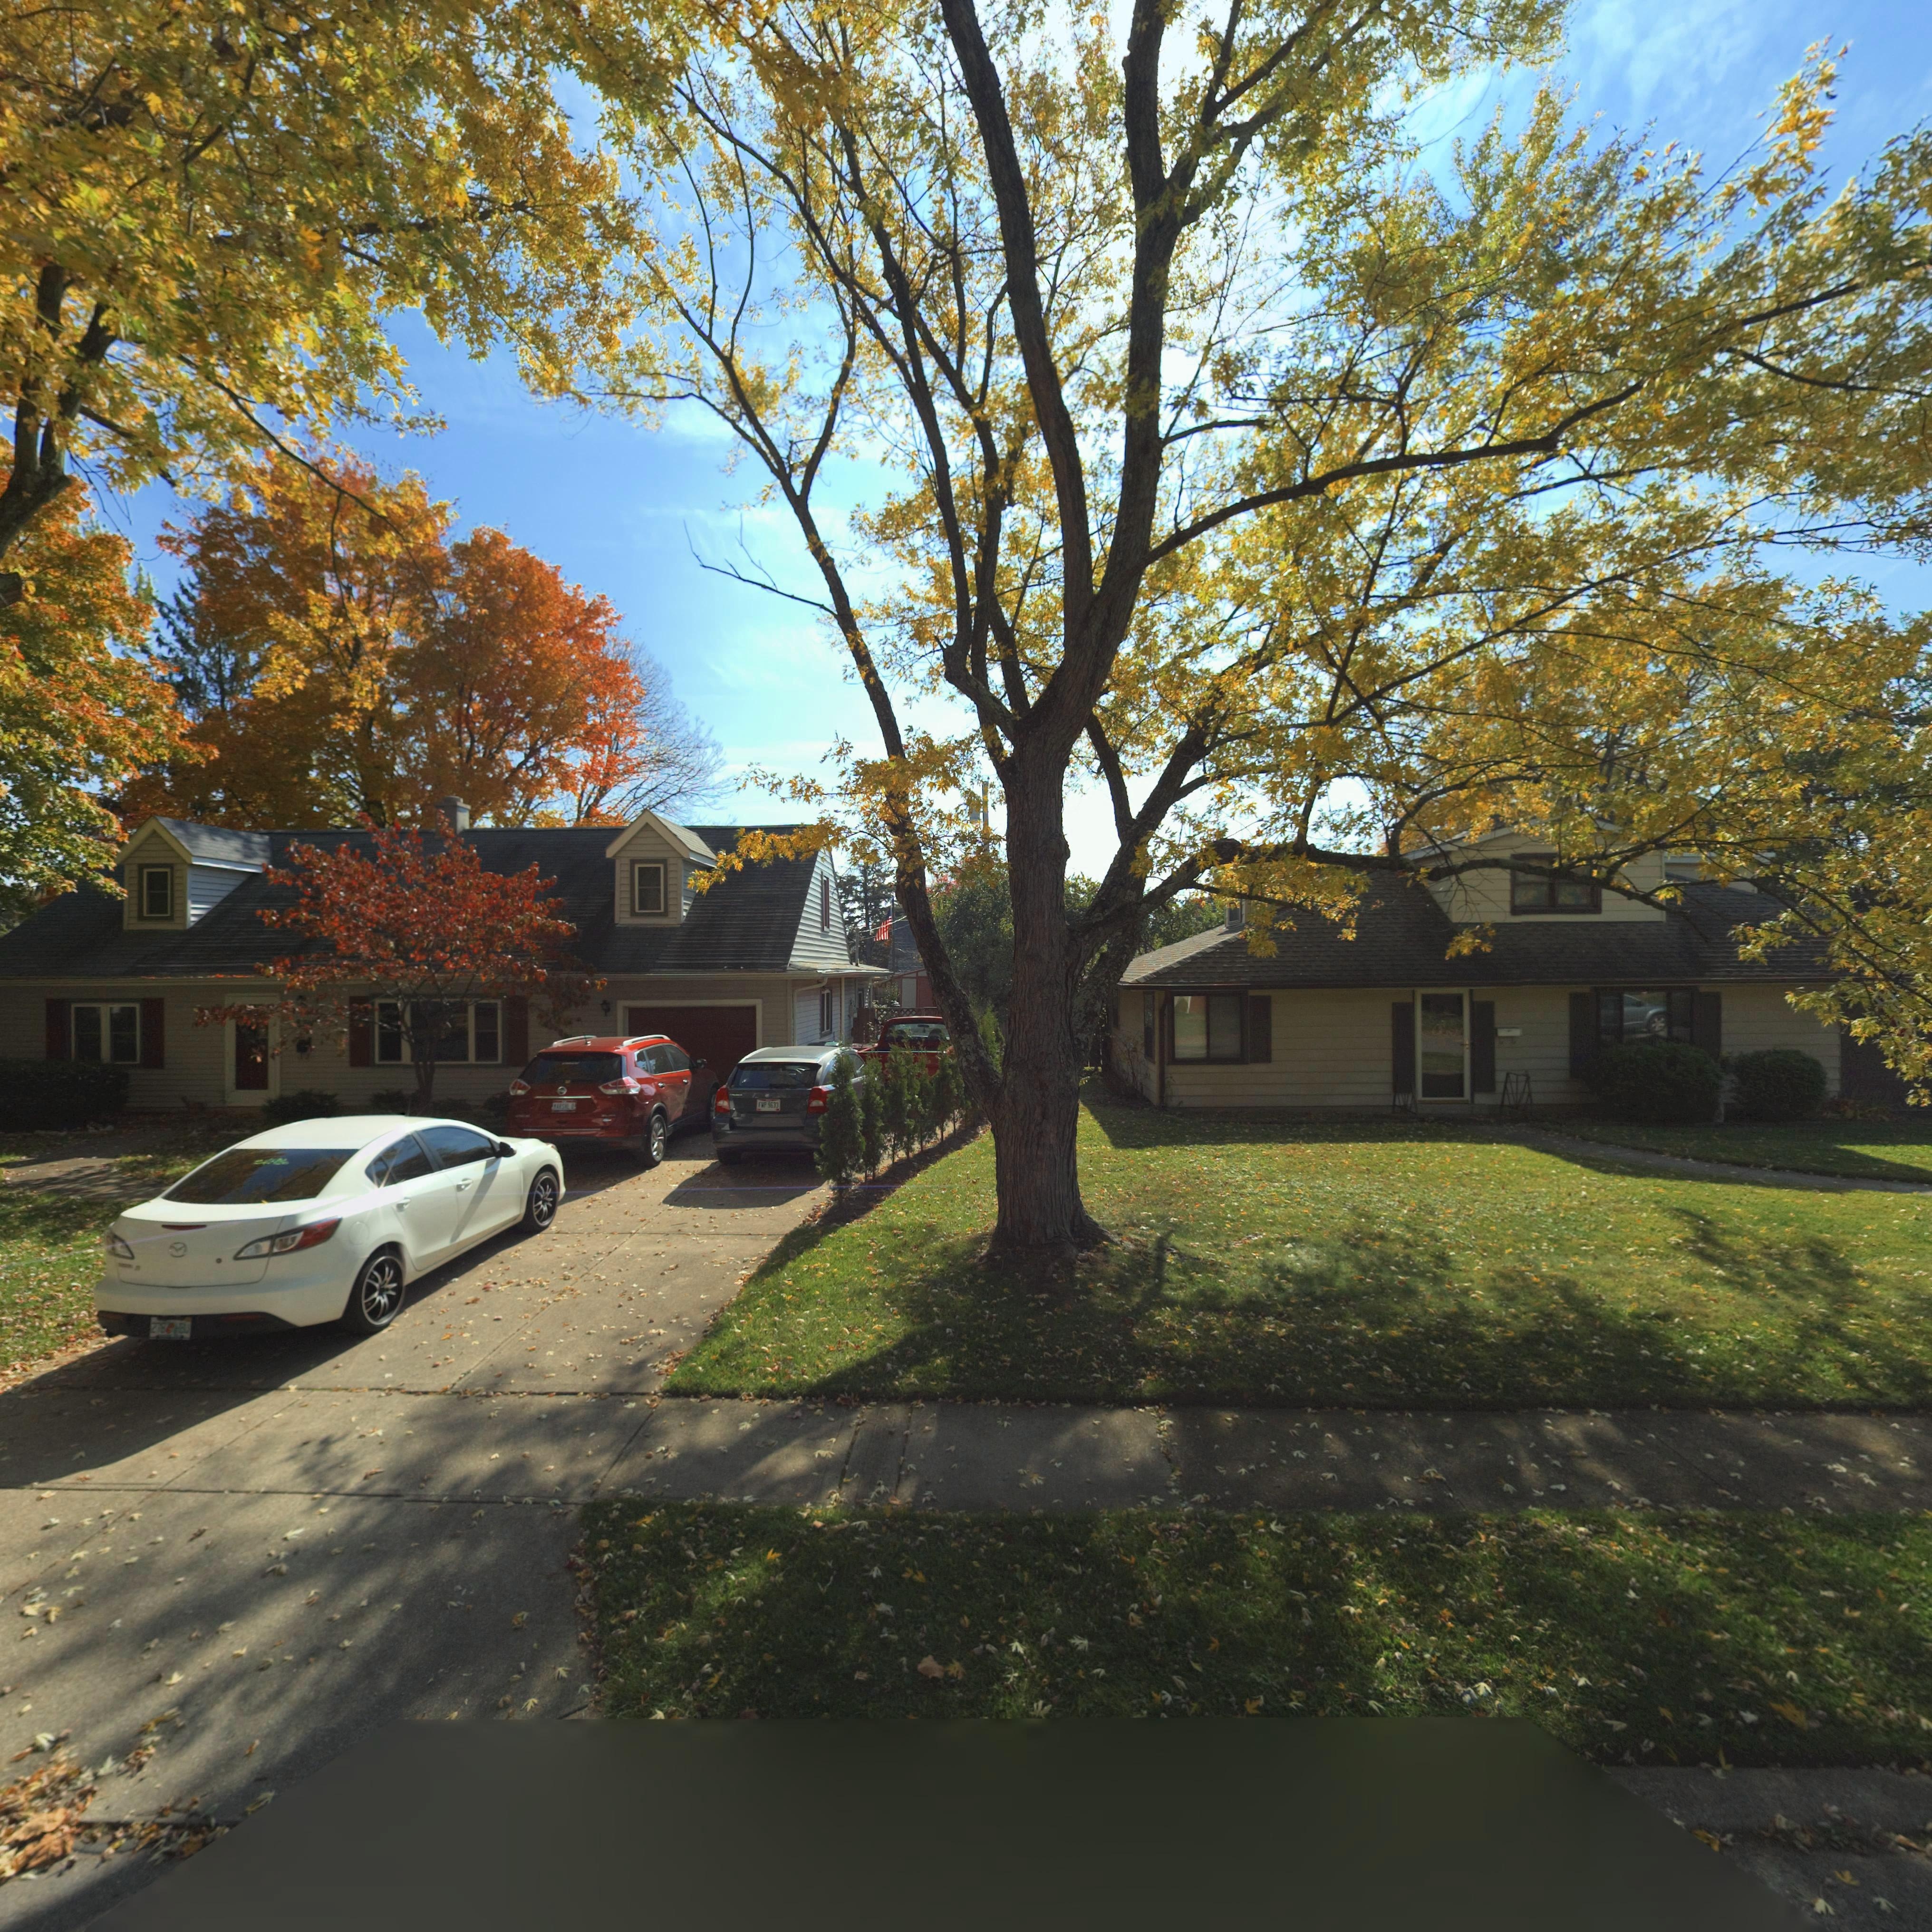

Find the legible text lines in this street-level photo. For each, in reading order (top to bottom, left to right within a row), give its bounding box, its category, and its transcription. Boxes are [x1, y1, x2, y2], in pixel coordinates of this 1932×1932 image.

[757, 1101, 780, 1109] None: FWP 9633